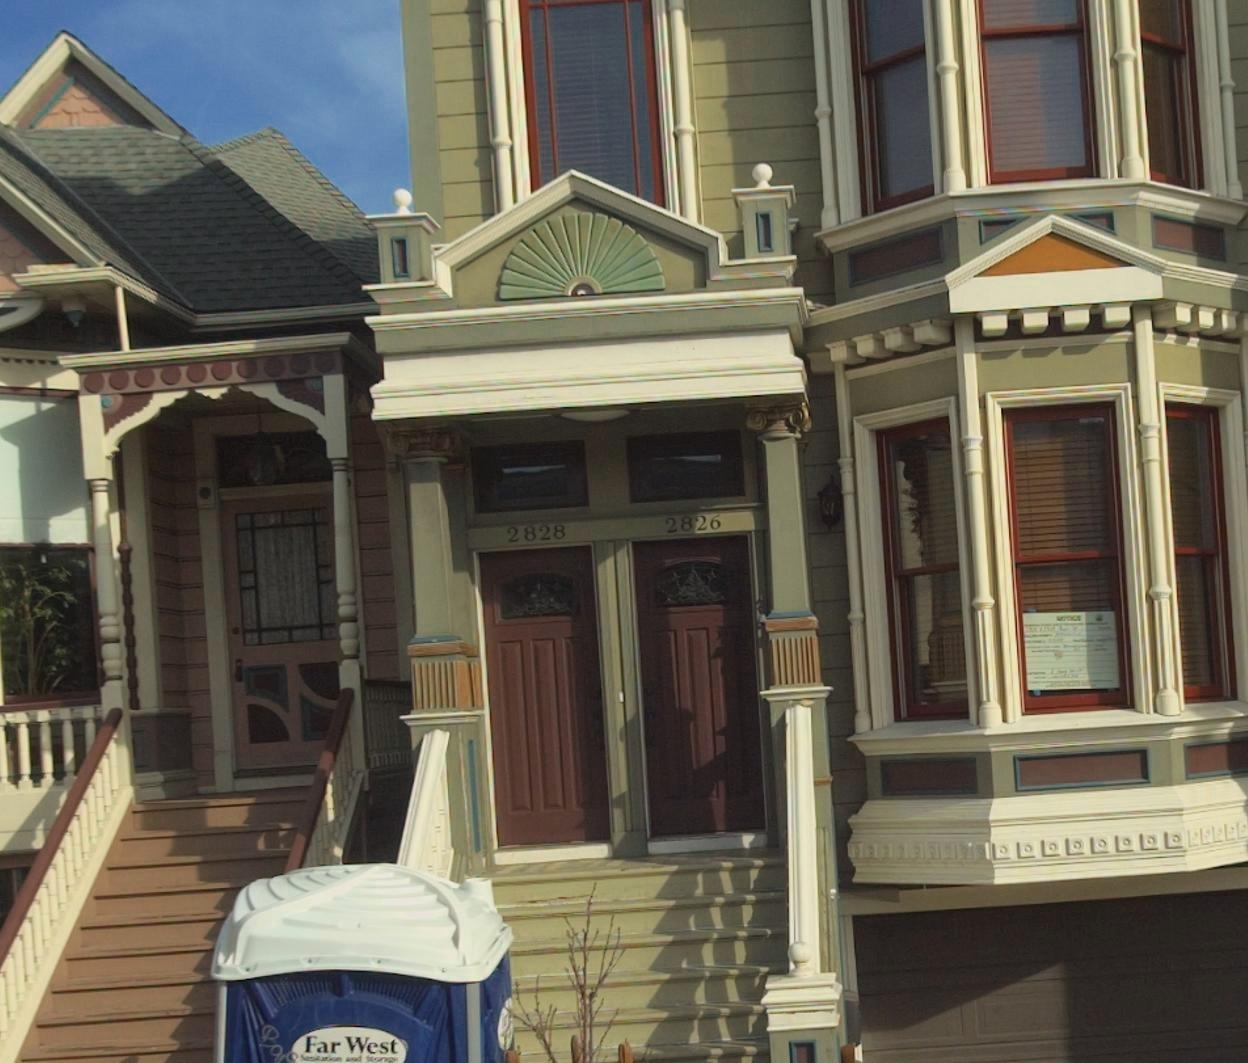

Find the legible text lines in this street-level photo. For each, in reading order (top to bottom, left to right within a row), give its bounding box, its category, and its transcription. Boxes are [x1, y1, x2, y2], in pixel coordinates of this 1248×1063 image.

[503, 520, 570, 545] StreetNumber: 2828
[662, 510, 724, 536] StreetNumber: 2826
[301, 1029, 403, 1057] None: Far West